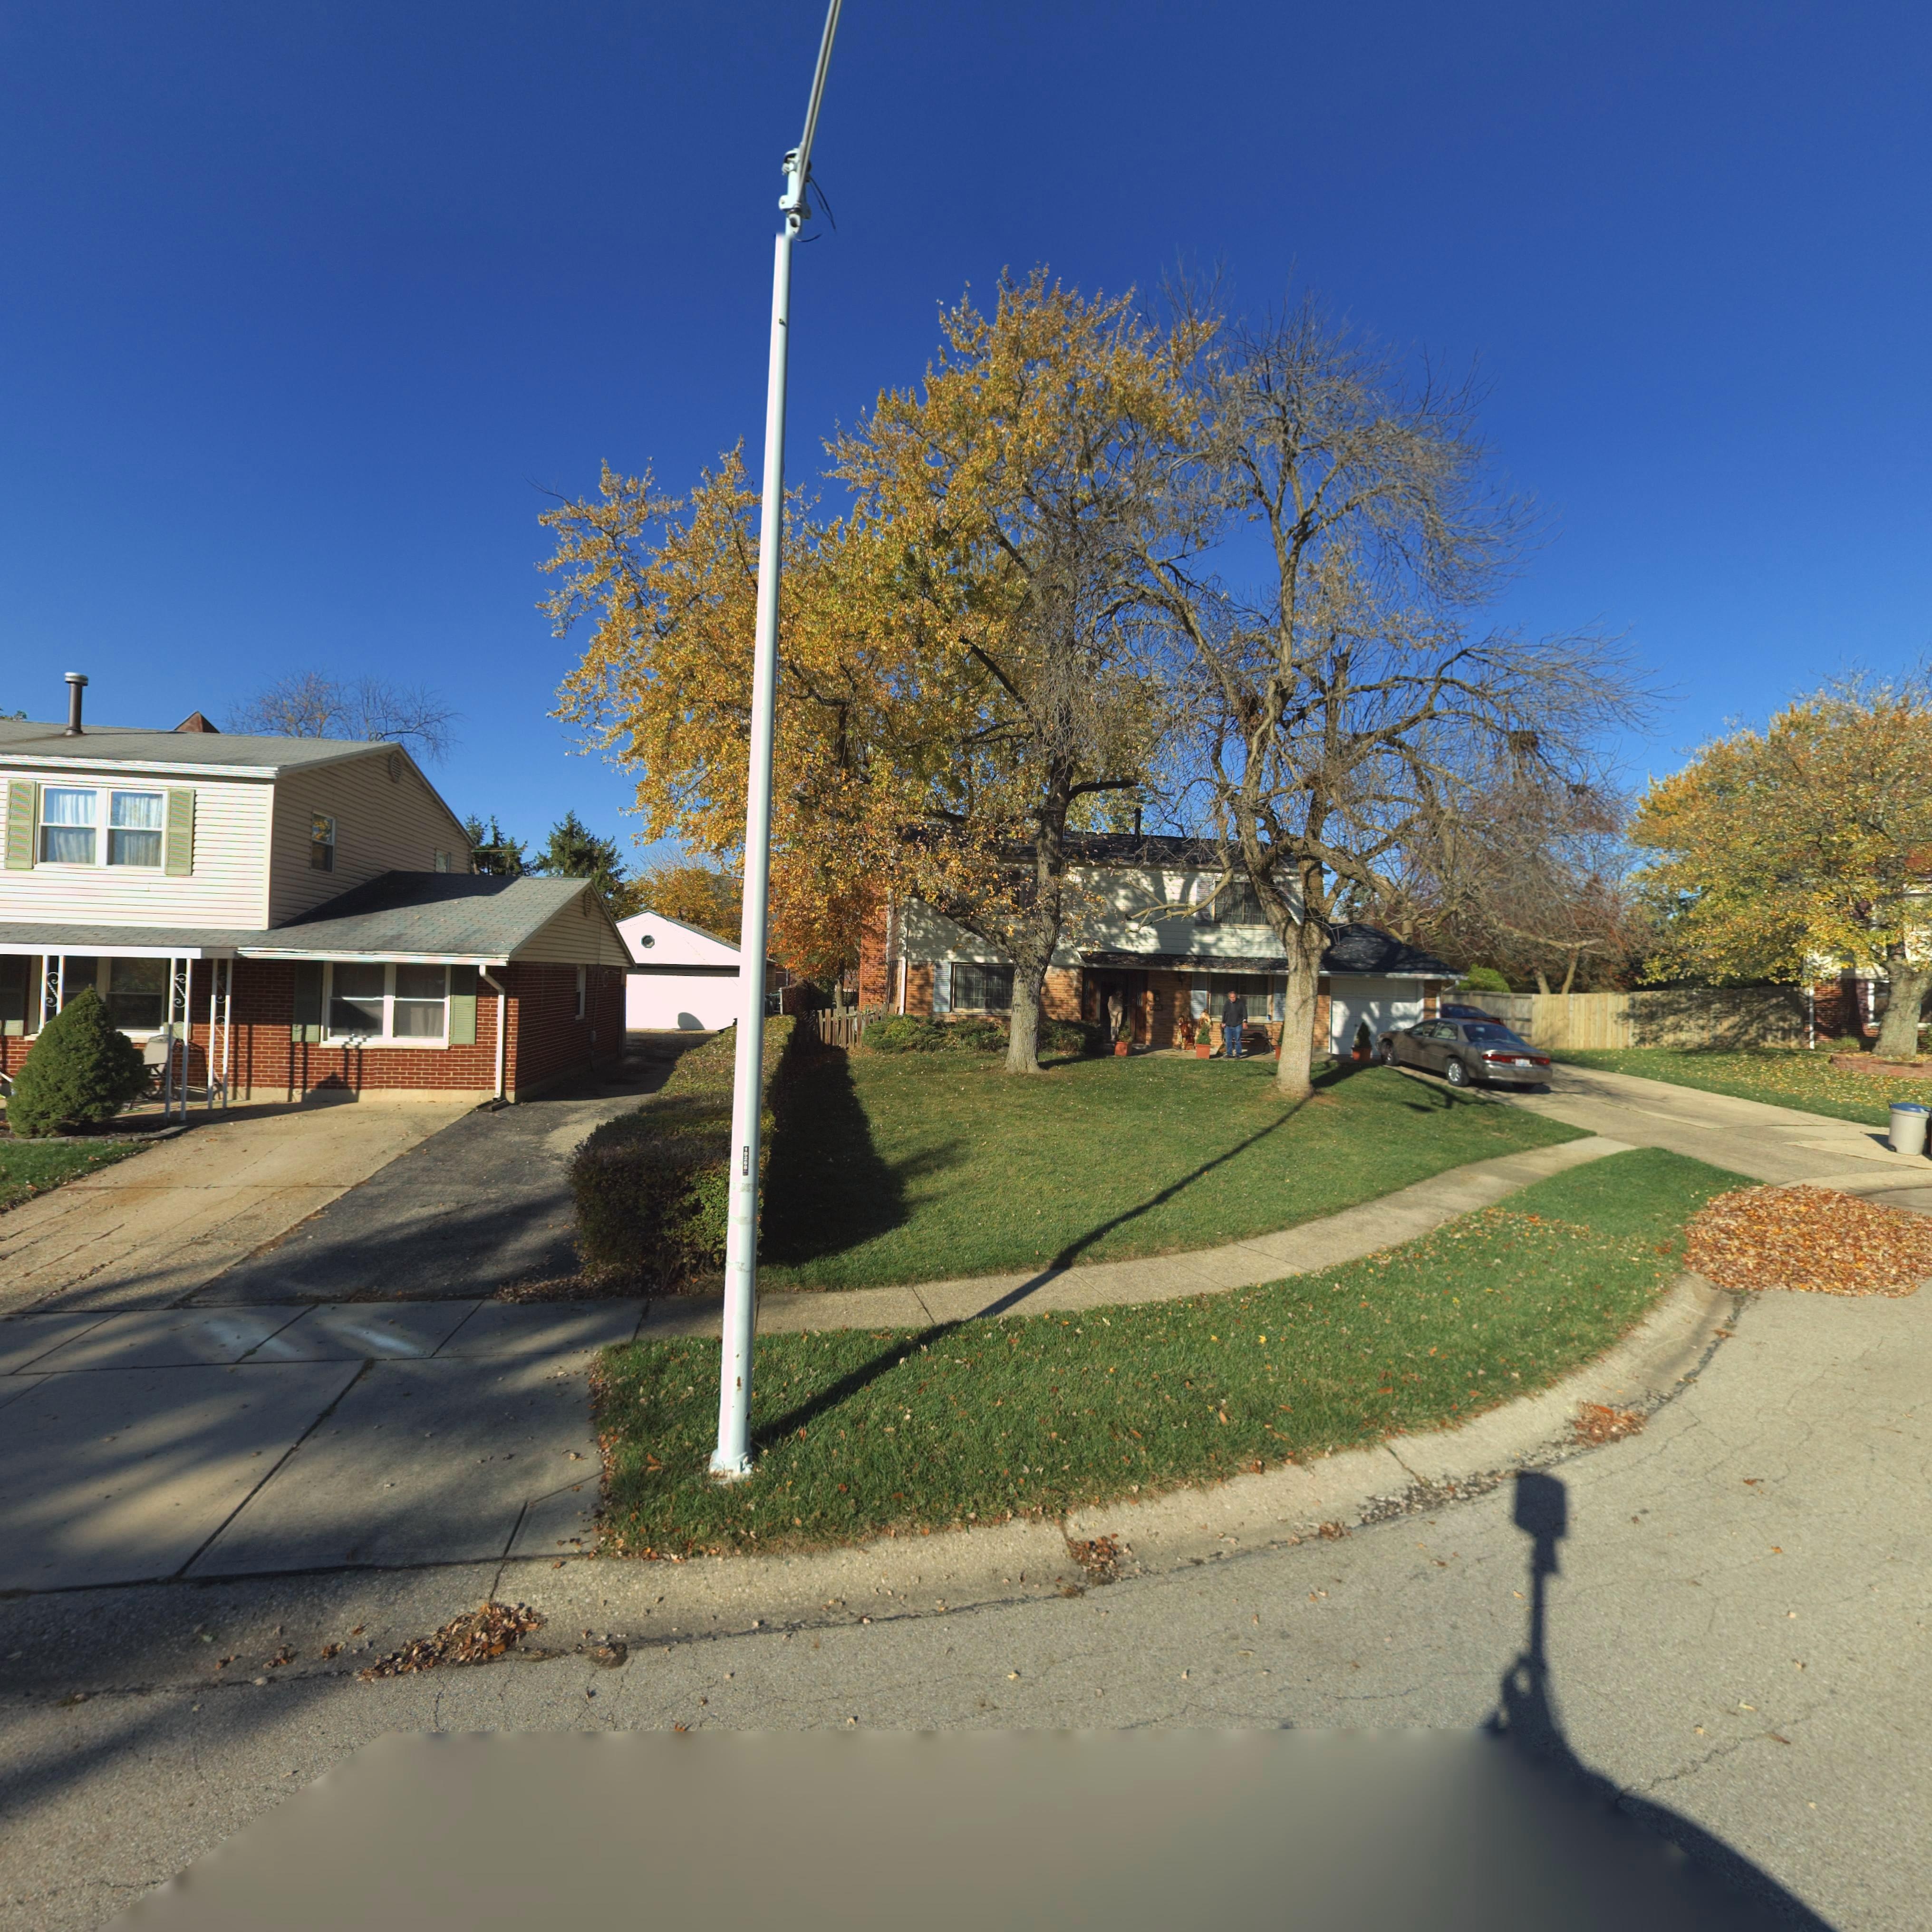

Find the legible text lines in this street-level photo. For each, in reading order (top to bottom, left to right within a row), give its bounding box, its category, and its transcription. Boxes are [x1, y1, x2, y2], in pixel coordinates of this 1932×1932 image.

[1149, 1005, 1163, 1011] StreetNumber: **06